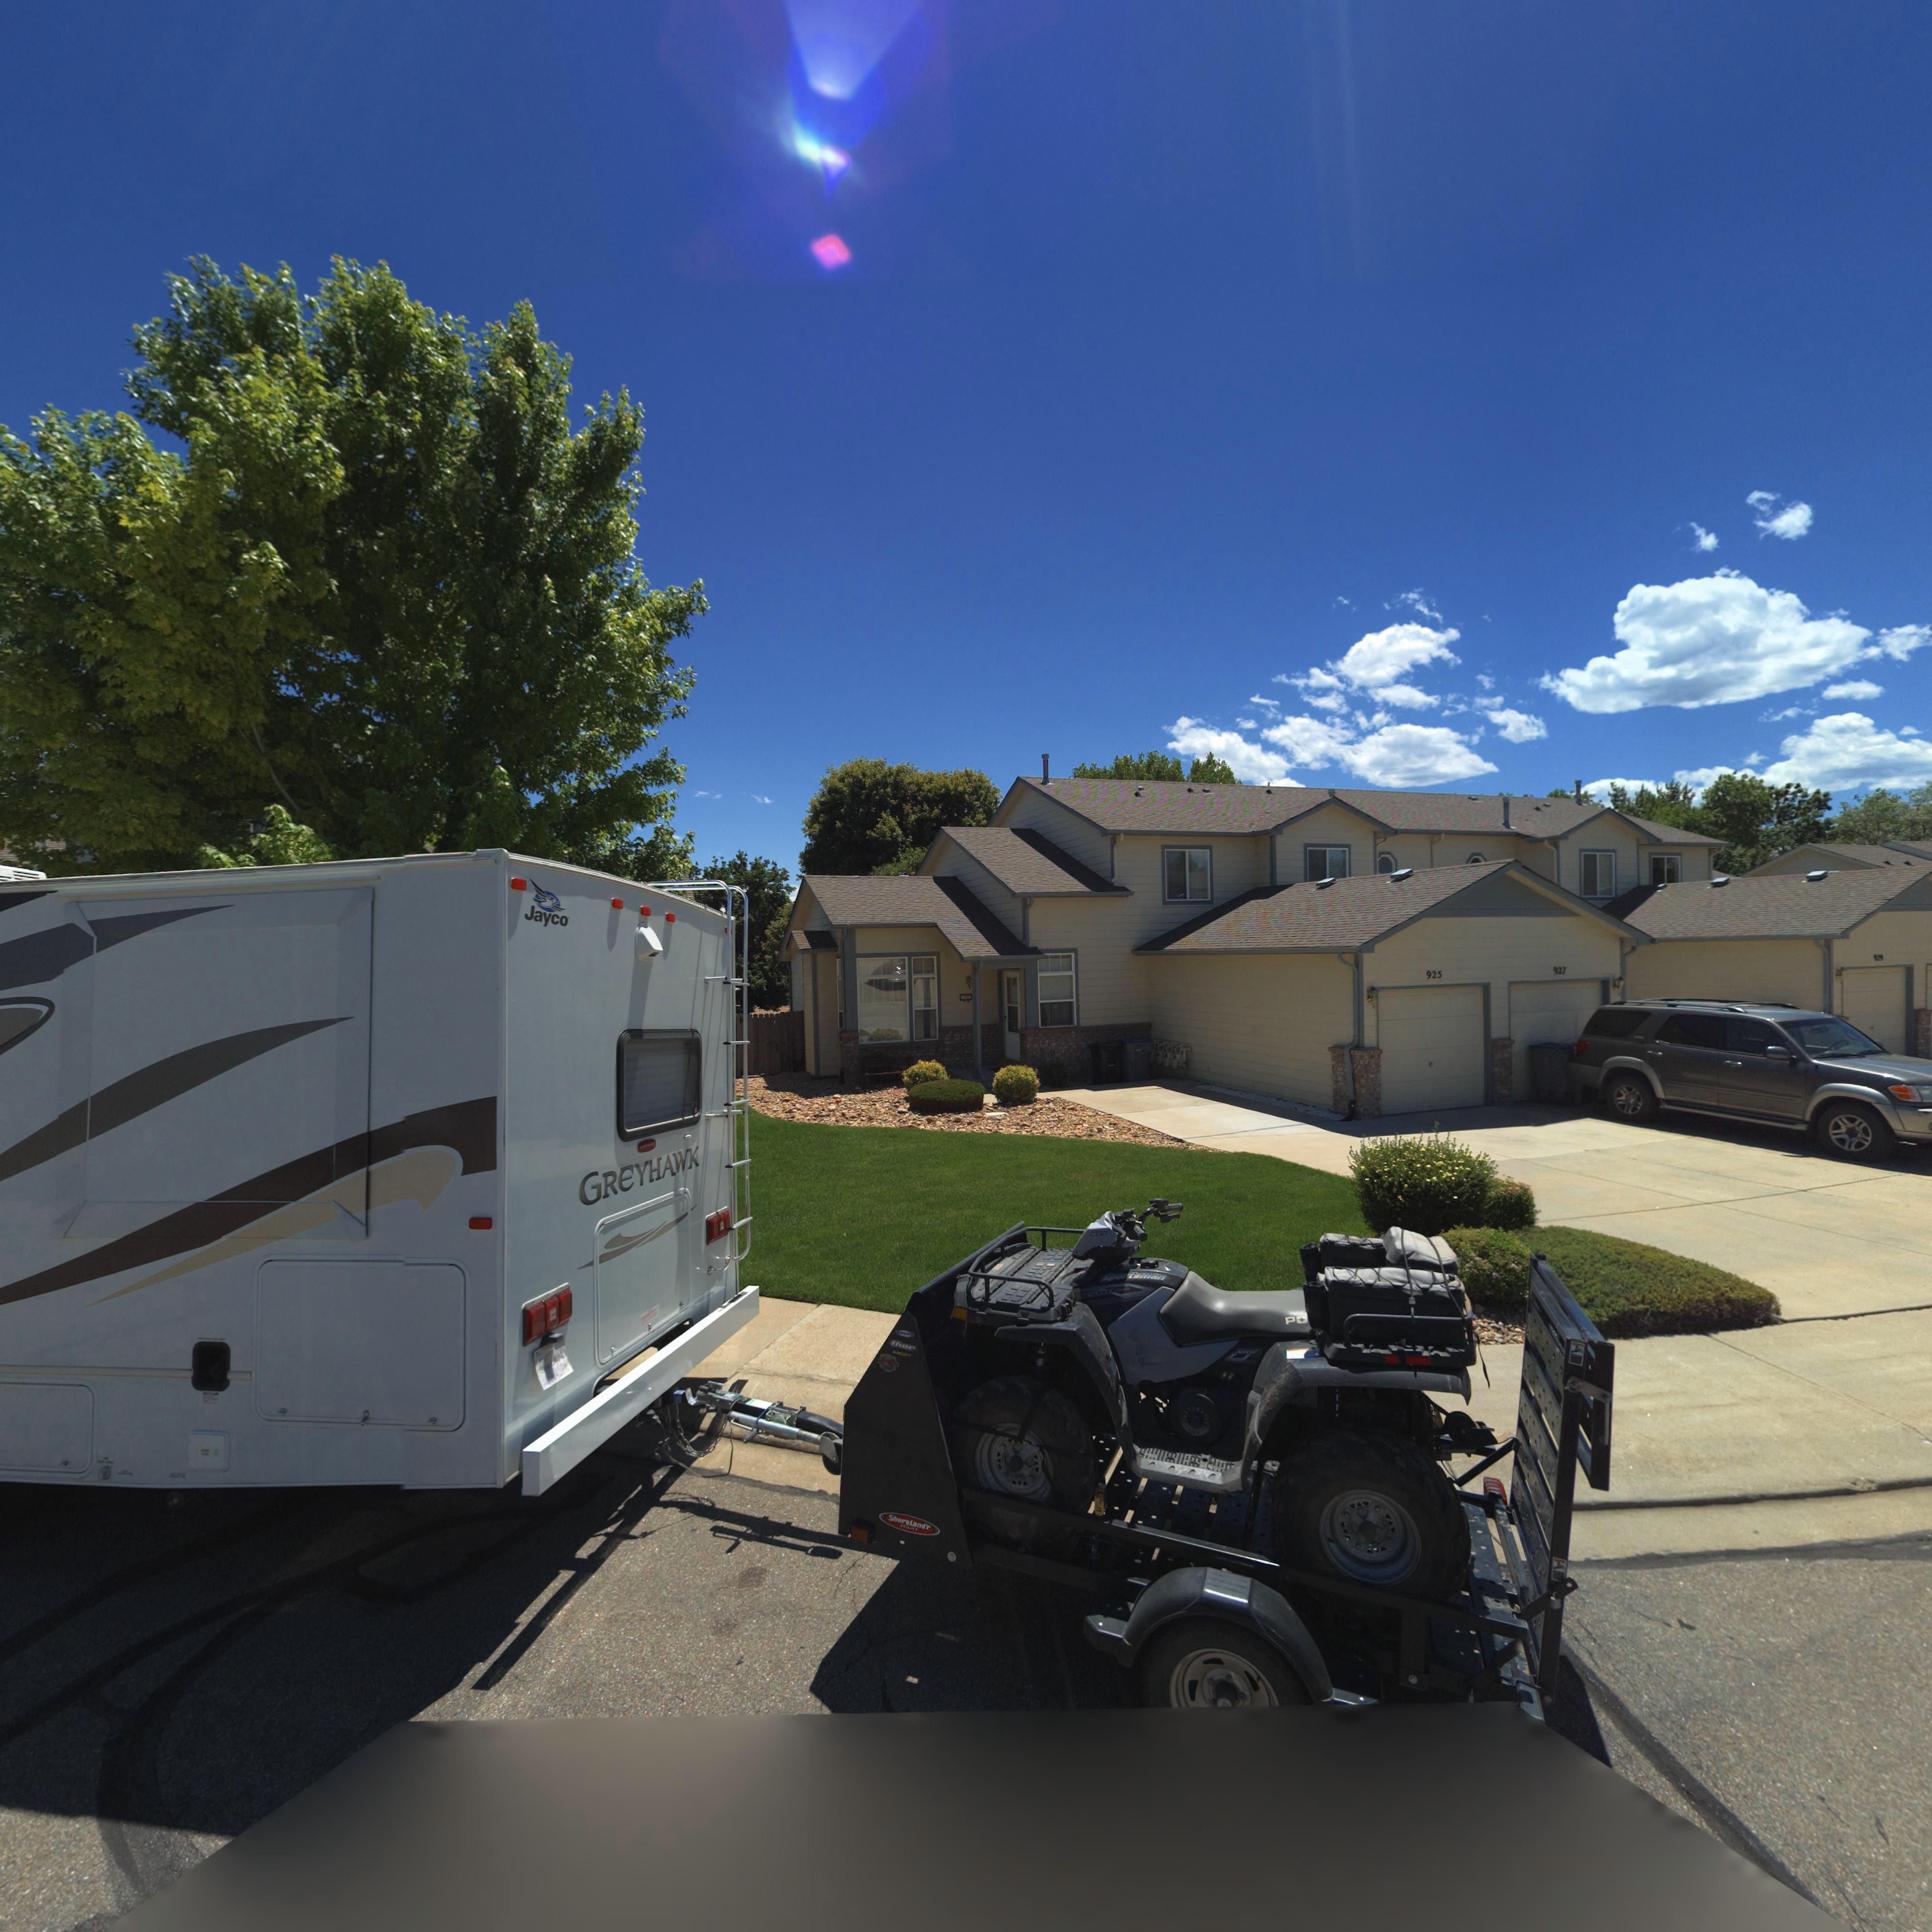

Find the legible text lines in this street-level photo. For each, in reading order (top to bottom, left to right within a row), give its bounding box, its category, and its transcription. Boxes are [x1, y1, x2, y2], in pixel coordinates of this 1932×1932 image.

[1873, 953, 1883, 961] StreetNumber: 92*
[1426, 970, 1442, 979] StreetNumber: 925
[1553, 966, 1567, 976] StreetNumber: 927